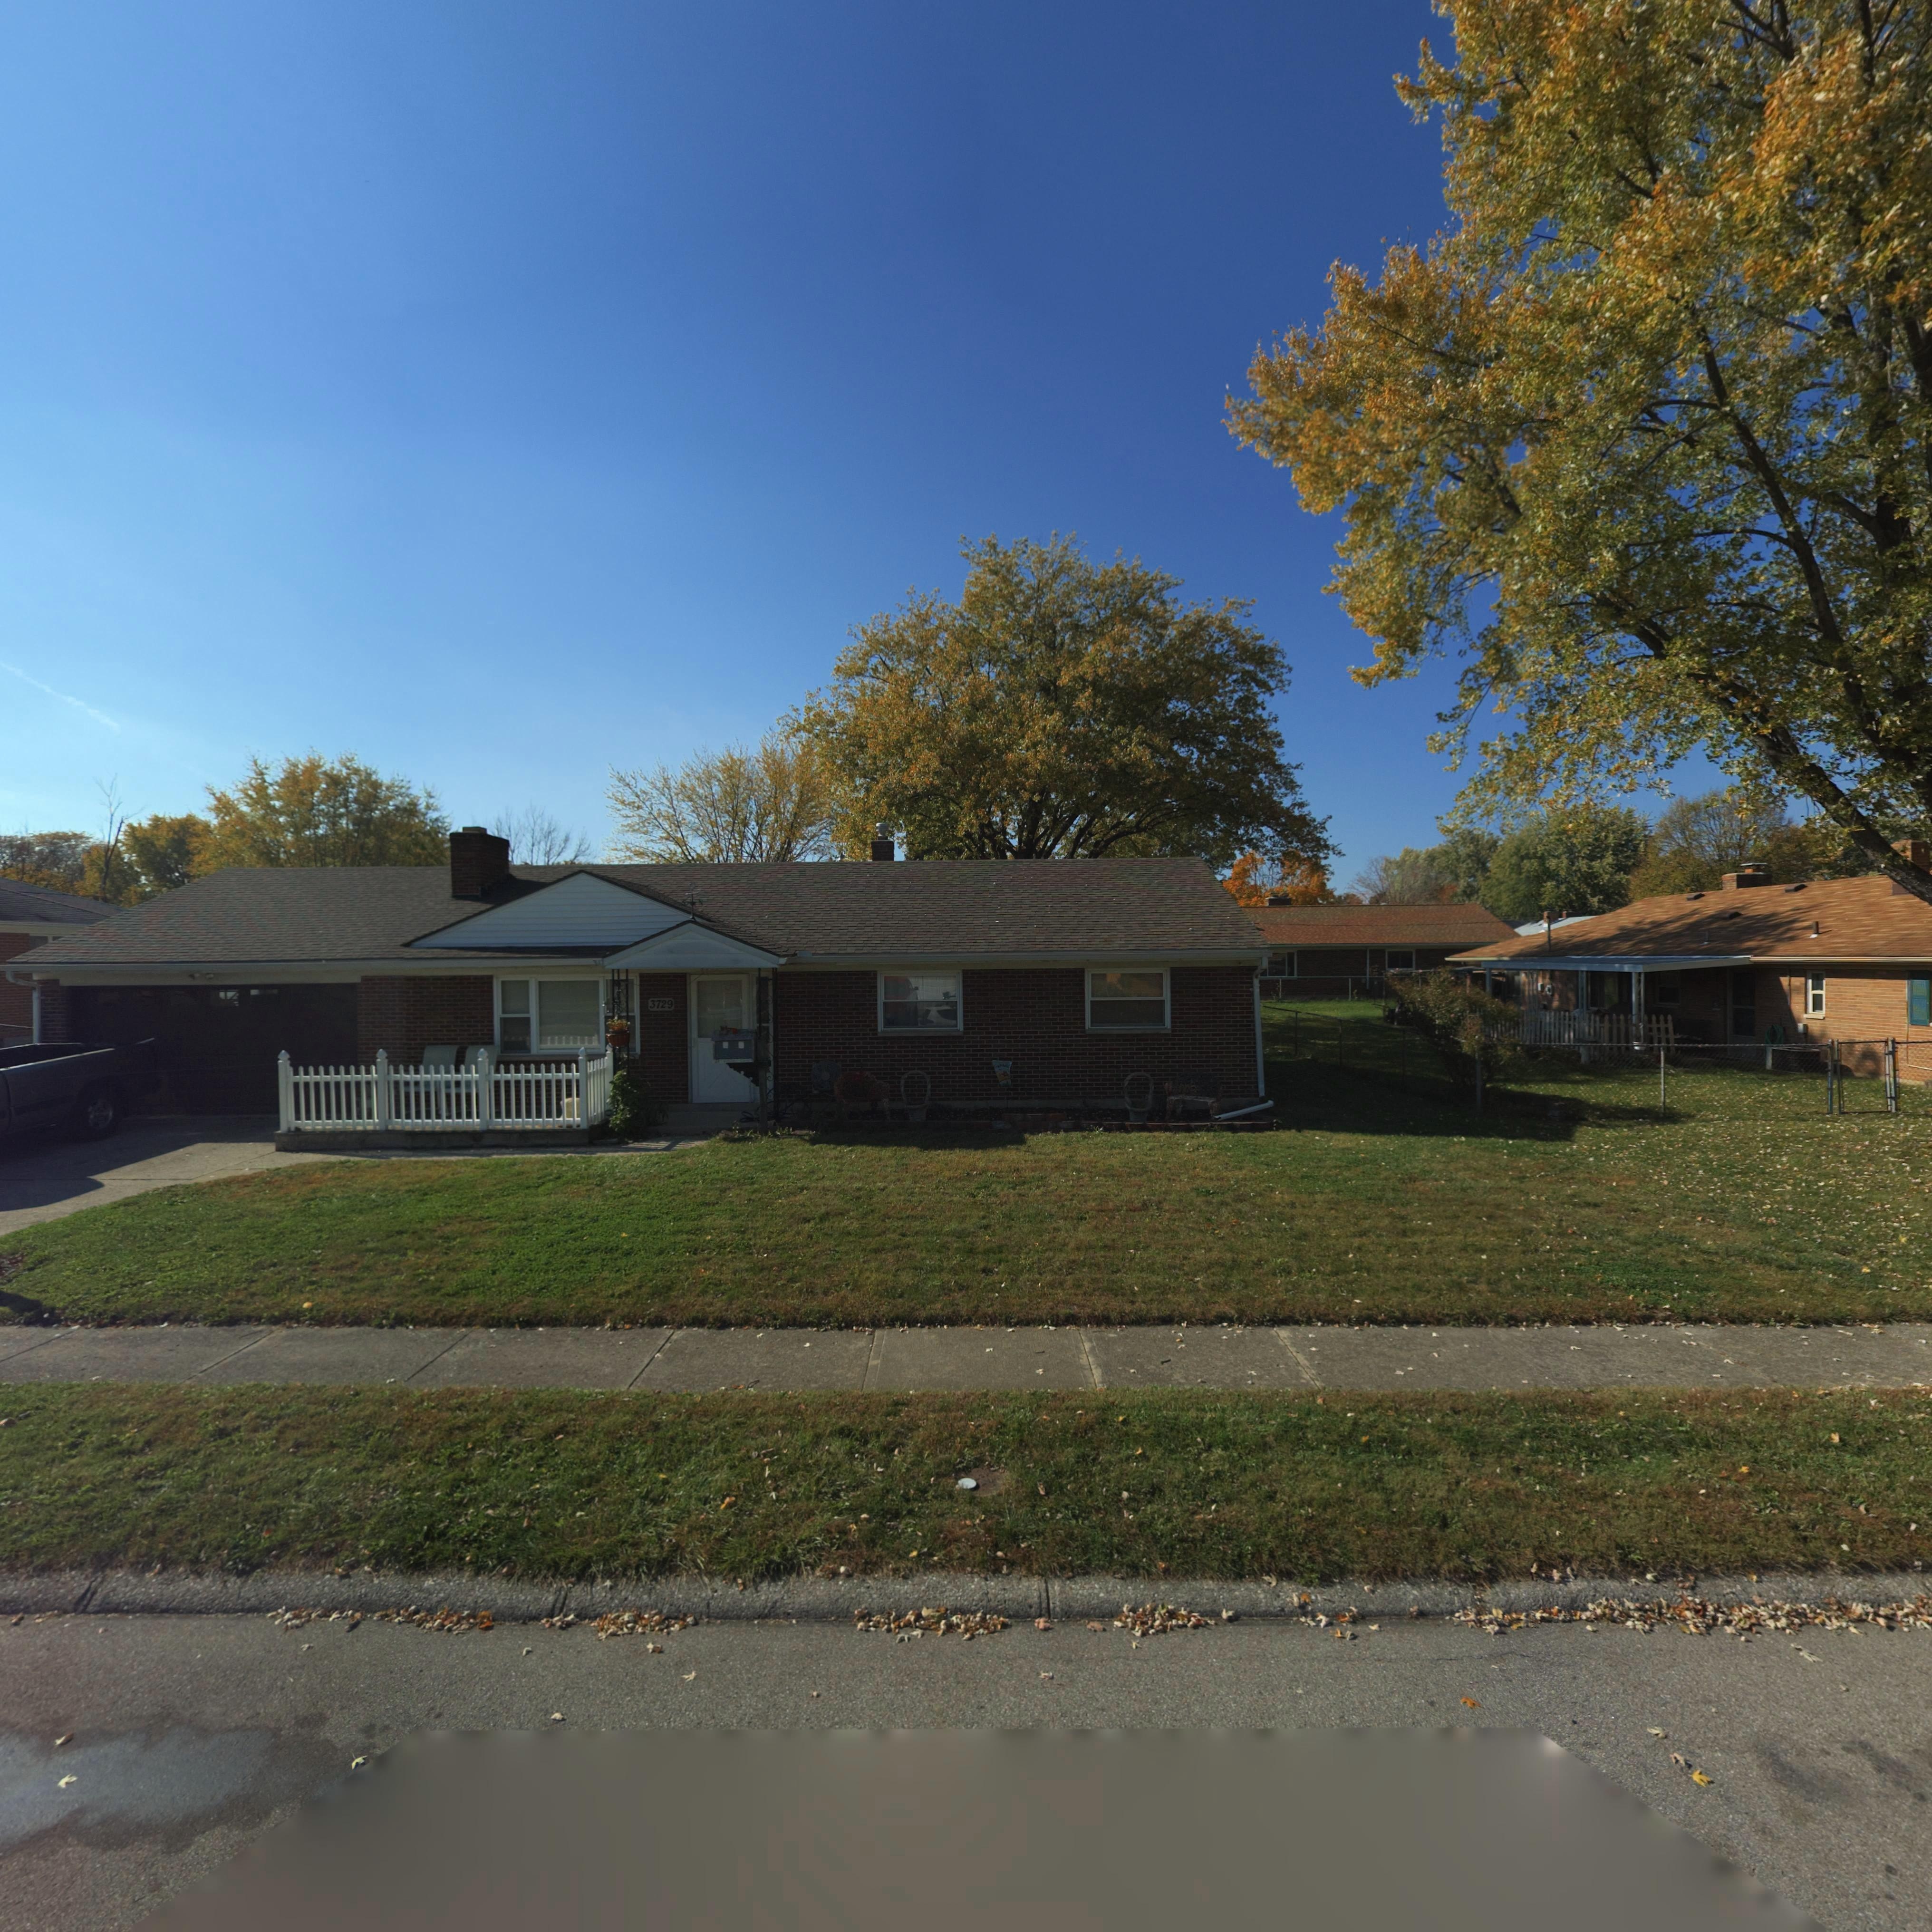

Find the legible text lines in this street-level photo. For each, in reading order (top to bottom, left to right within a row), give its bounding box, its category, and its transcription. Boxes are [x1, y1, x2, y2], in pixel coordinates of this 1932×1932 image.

[649, 999, 674, 1009] StreetNumber: 3729